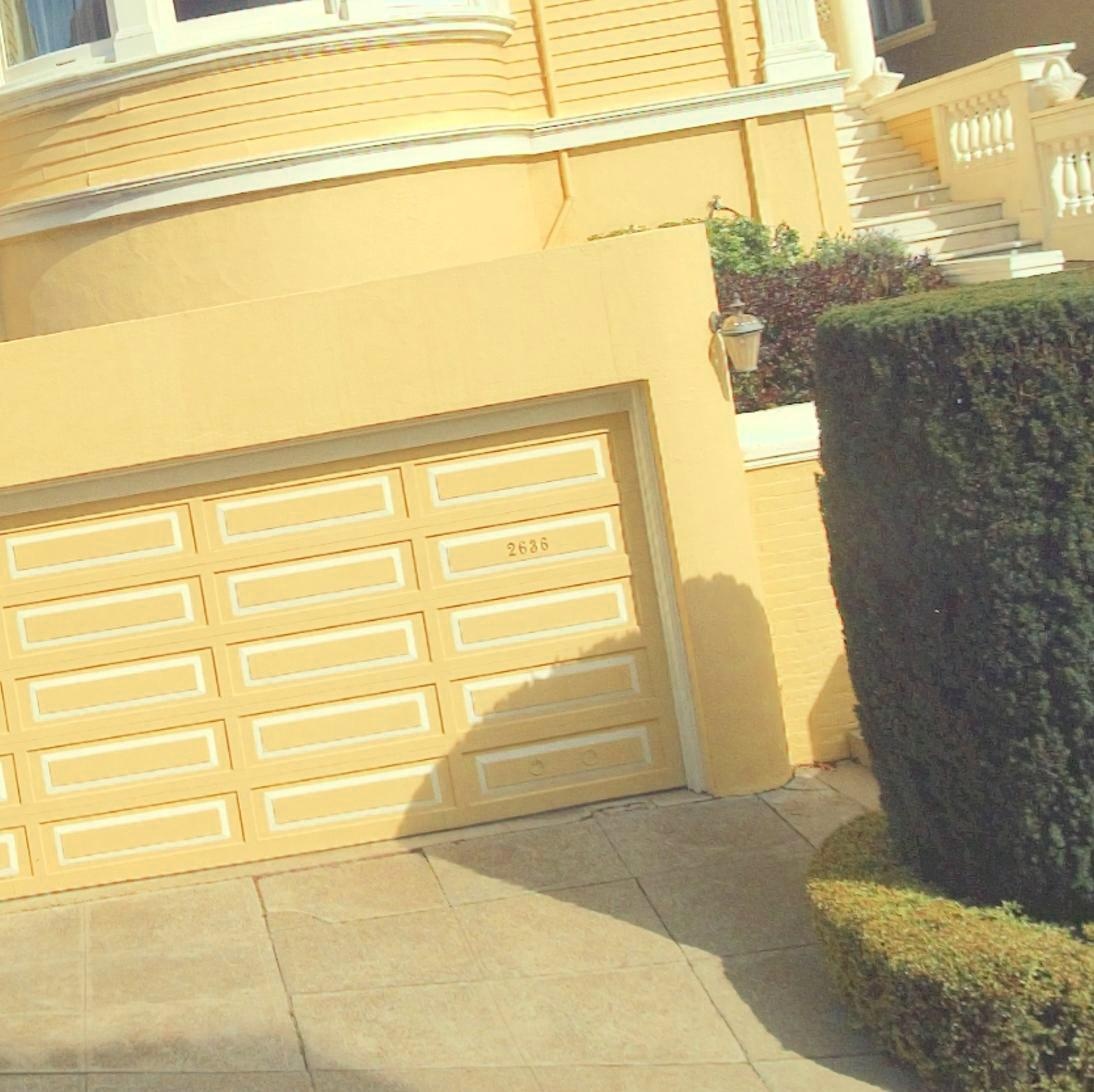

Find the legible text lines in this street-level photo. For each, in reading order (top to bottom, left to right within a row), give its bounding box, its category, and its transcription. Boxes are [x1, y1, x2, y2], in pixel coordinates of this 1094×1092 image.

[504, 533, 551, 559] StreetNumber: 2636